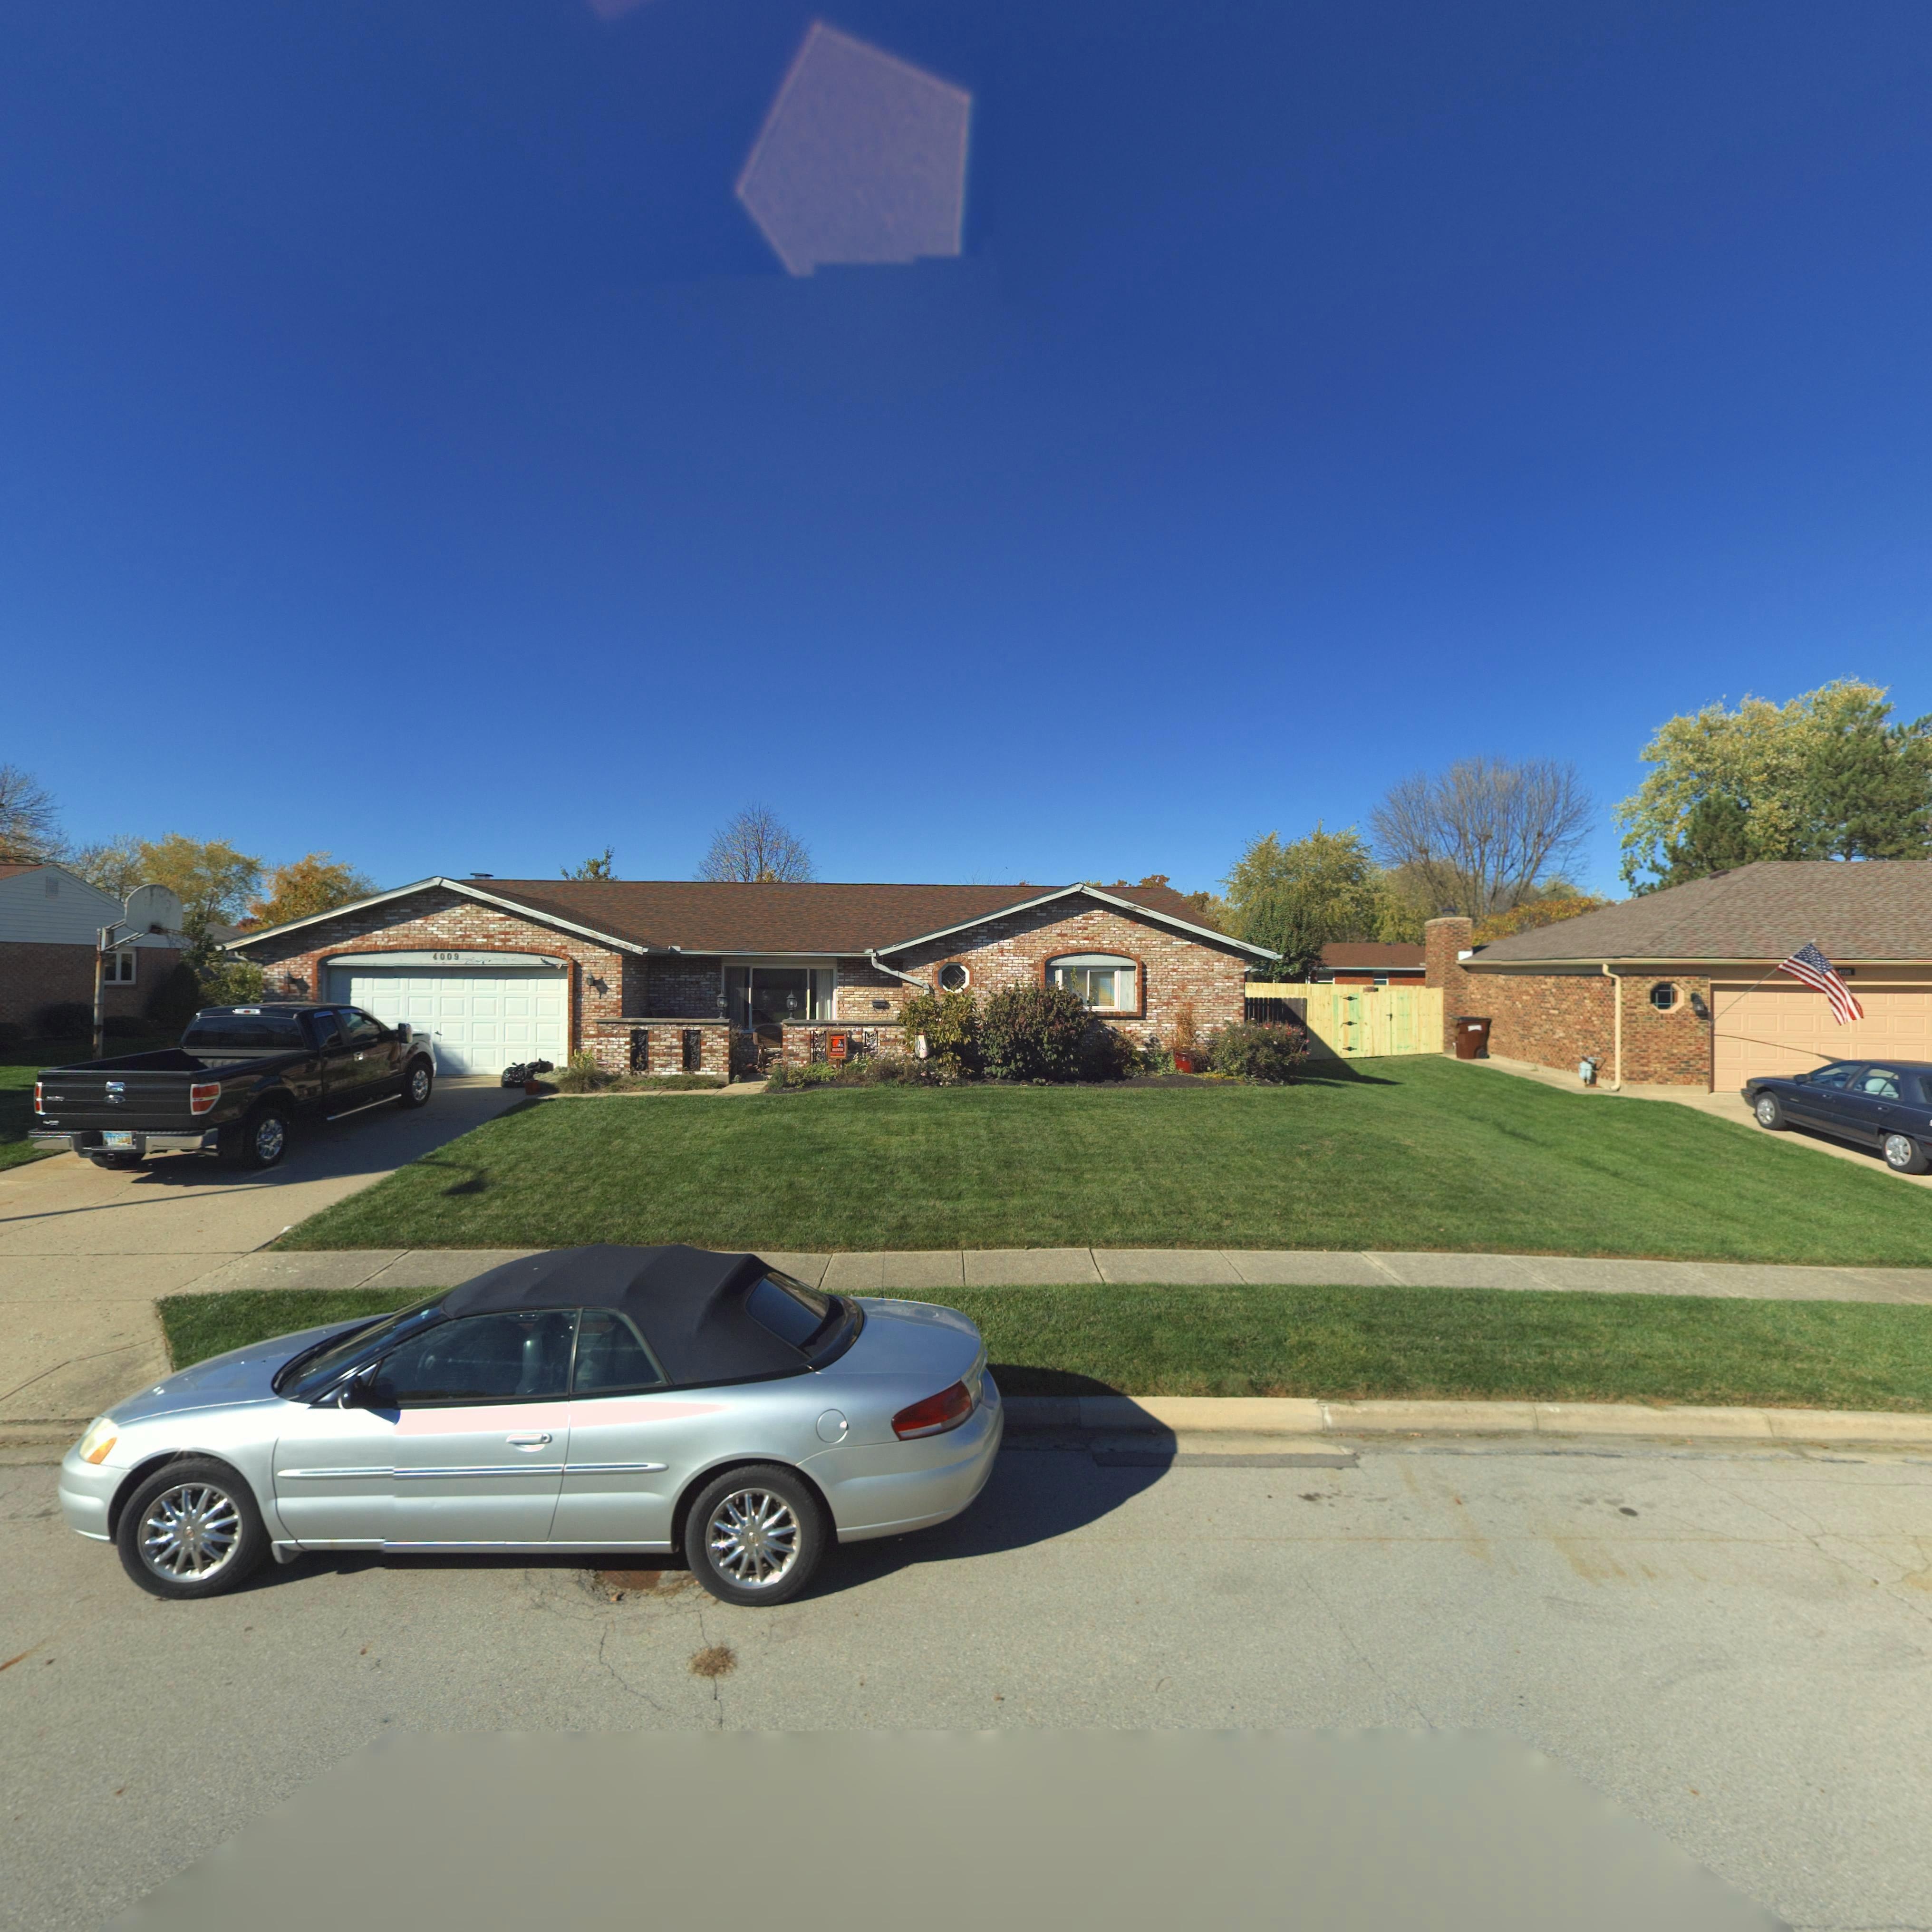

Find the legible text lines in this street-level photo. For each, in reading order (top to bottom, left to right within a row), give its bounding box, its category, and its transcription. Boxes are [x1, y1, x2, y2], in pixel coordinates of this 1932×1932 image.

[432, 953, 459, 960] StreetNumber: 4009
[1837, 969, 1852, 976] StreetNumber: *011